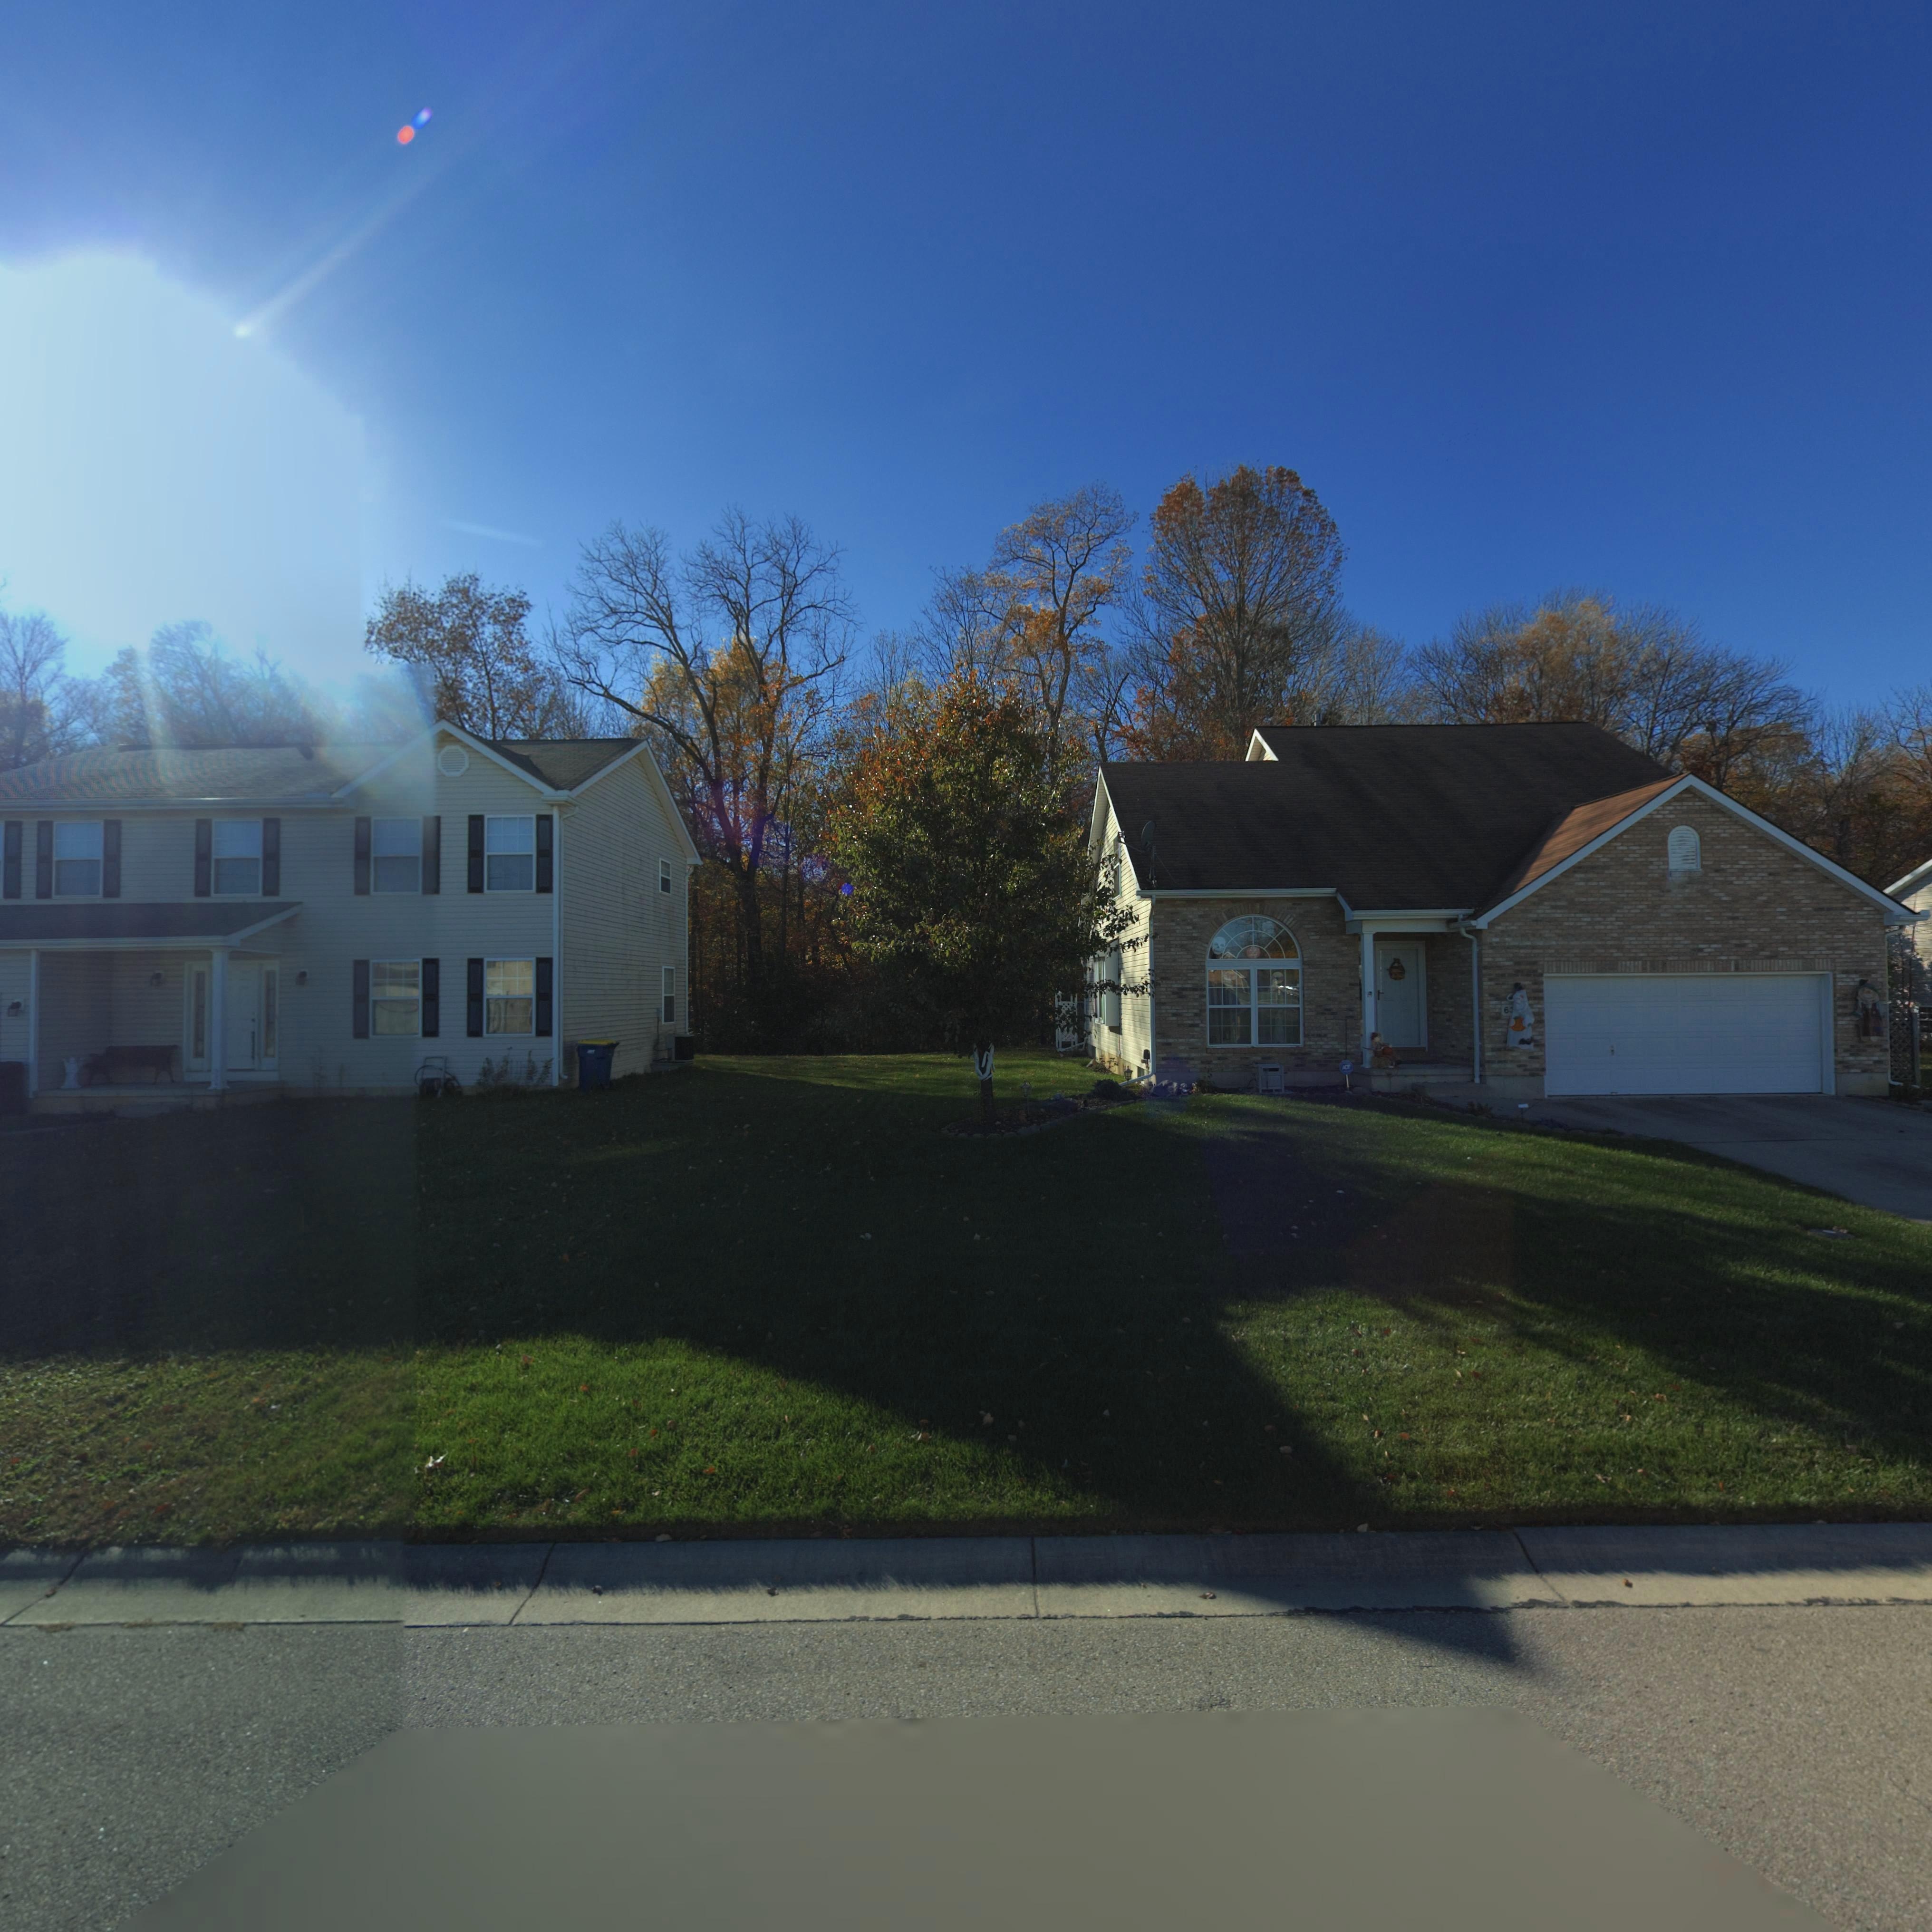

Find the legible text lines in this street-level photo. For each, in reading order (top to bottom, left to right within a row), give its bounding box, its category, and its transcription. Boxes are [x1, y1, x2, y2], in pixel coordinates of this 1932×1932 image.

[1504, 1006, 1509, 1014] StreetNumber: 6